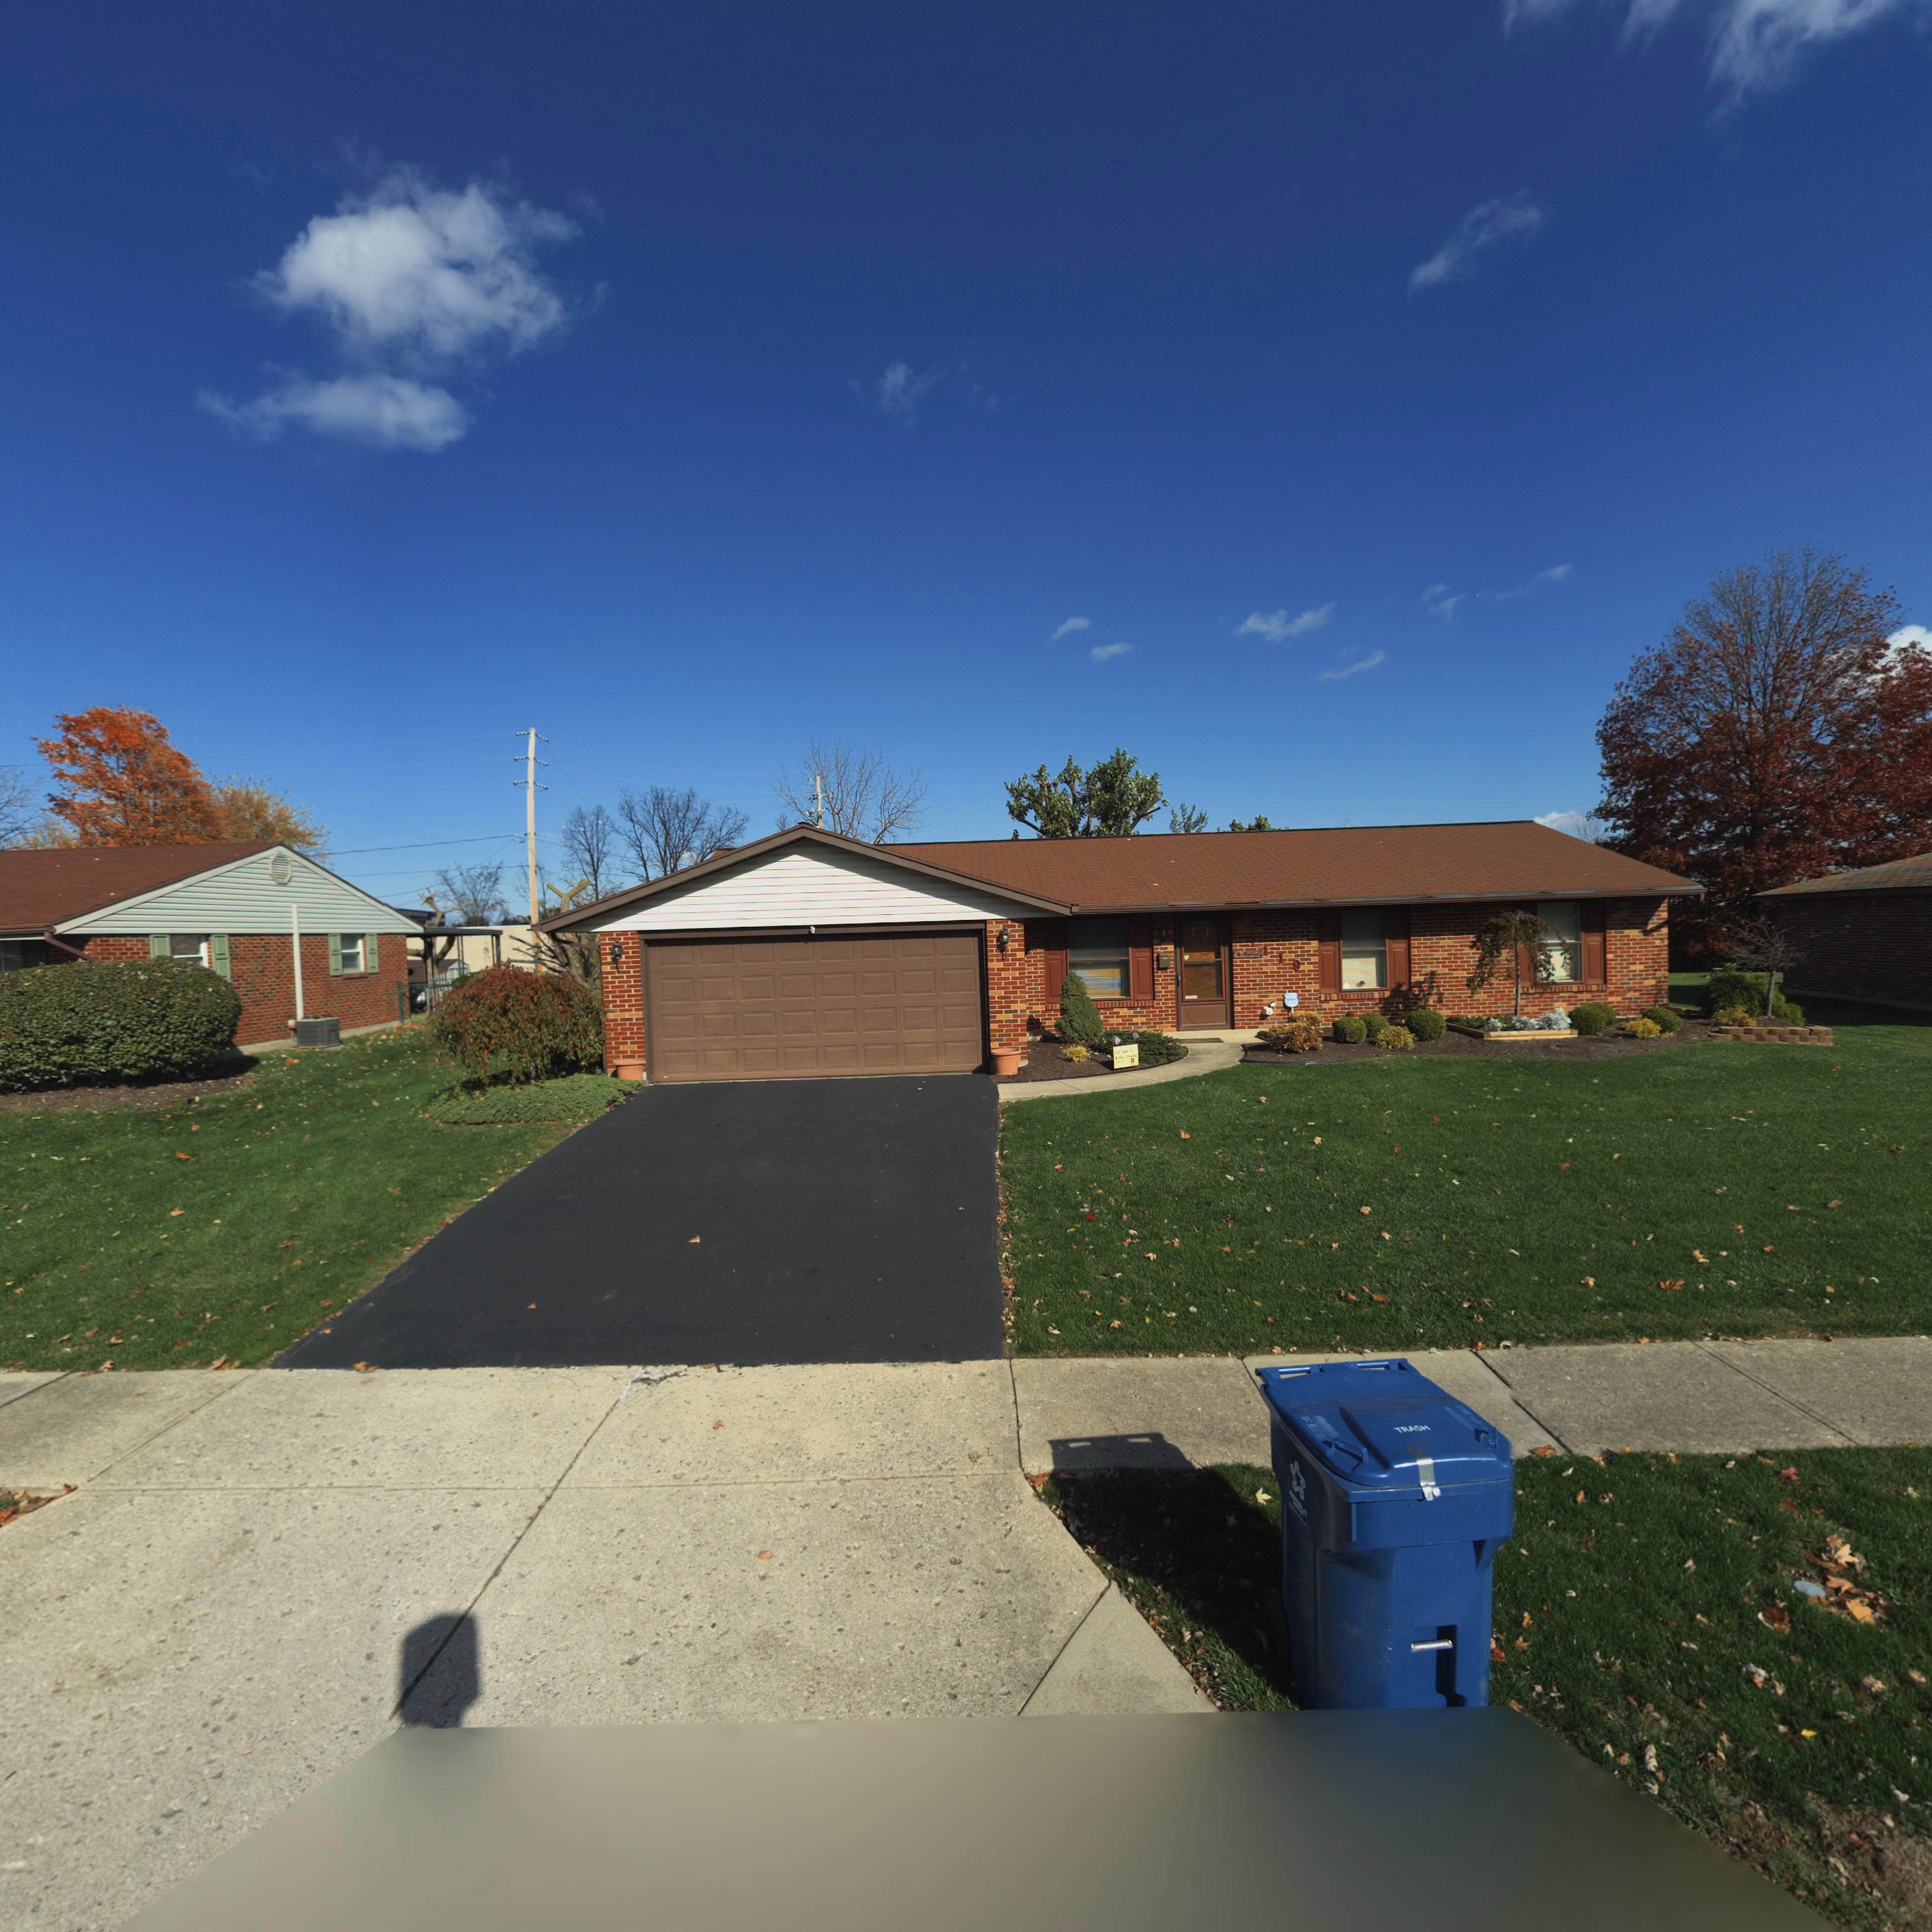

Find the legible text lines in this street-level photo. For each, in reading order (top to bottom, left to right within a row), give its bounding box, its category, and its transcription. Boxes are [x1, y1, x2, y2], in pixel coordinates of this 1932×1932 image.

[1247, 935, 1303, 972] StreetNumber: 7119